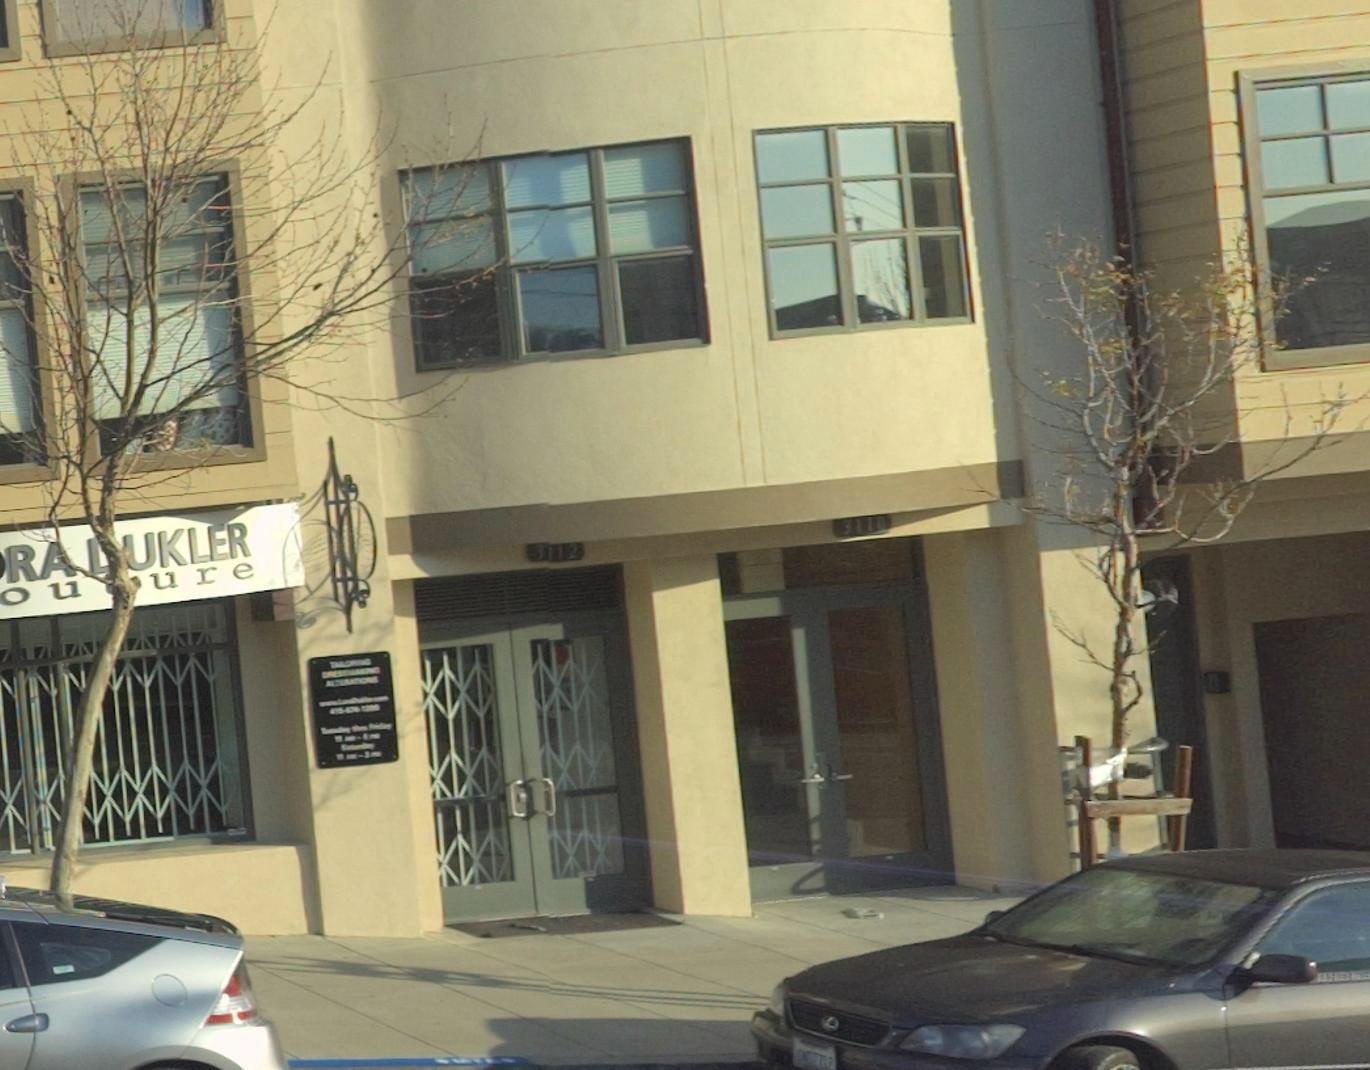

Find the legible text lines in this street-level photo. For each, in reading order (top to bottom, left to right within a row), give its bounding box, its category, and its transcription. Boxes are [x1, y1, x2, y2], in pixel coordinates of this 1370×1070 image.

[841, 513, 888, 538] StreetNumber: 3110
[2, 518, 256, 587] BusinessName: RA *UKLER
[531, 540, 582, 563] StreetNumber: 3112
[0, 560, 257, 608] None: OU *URE